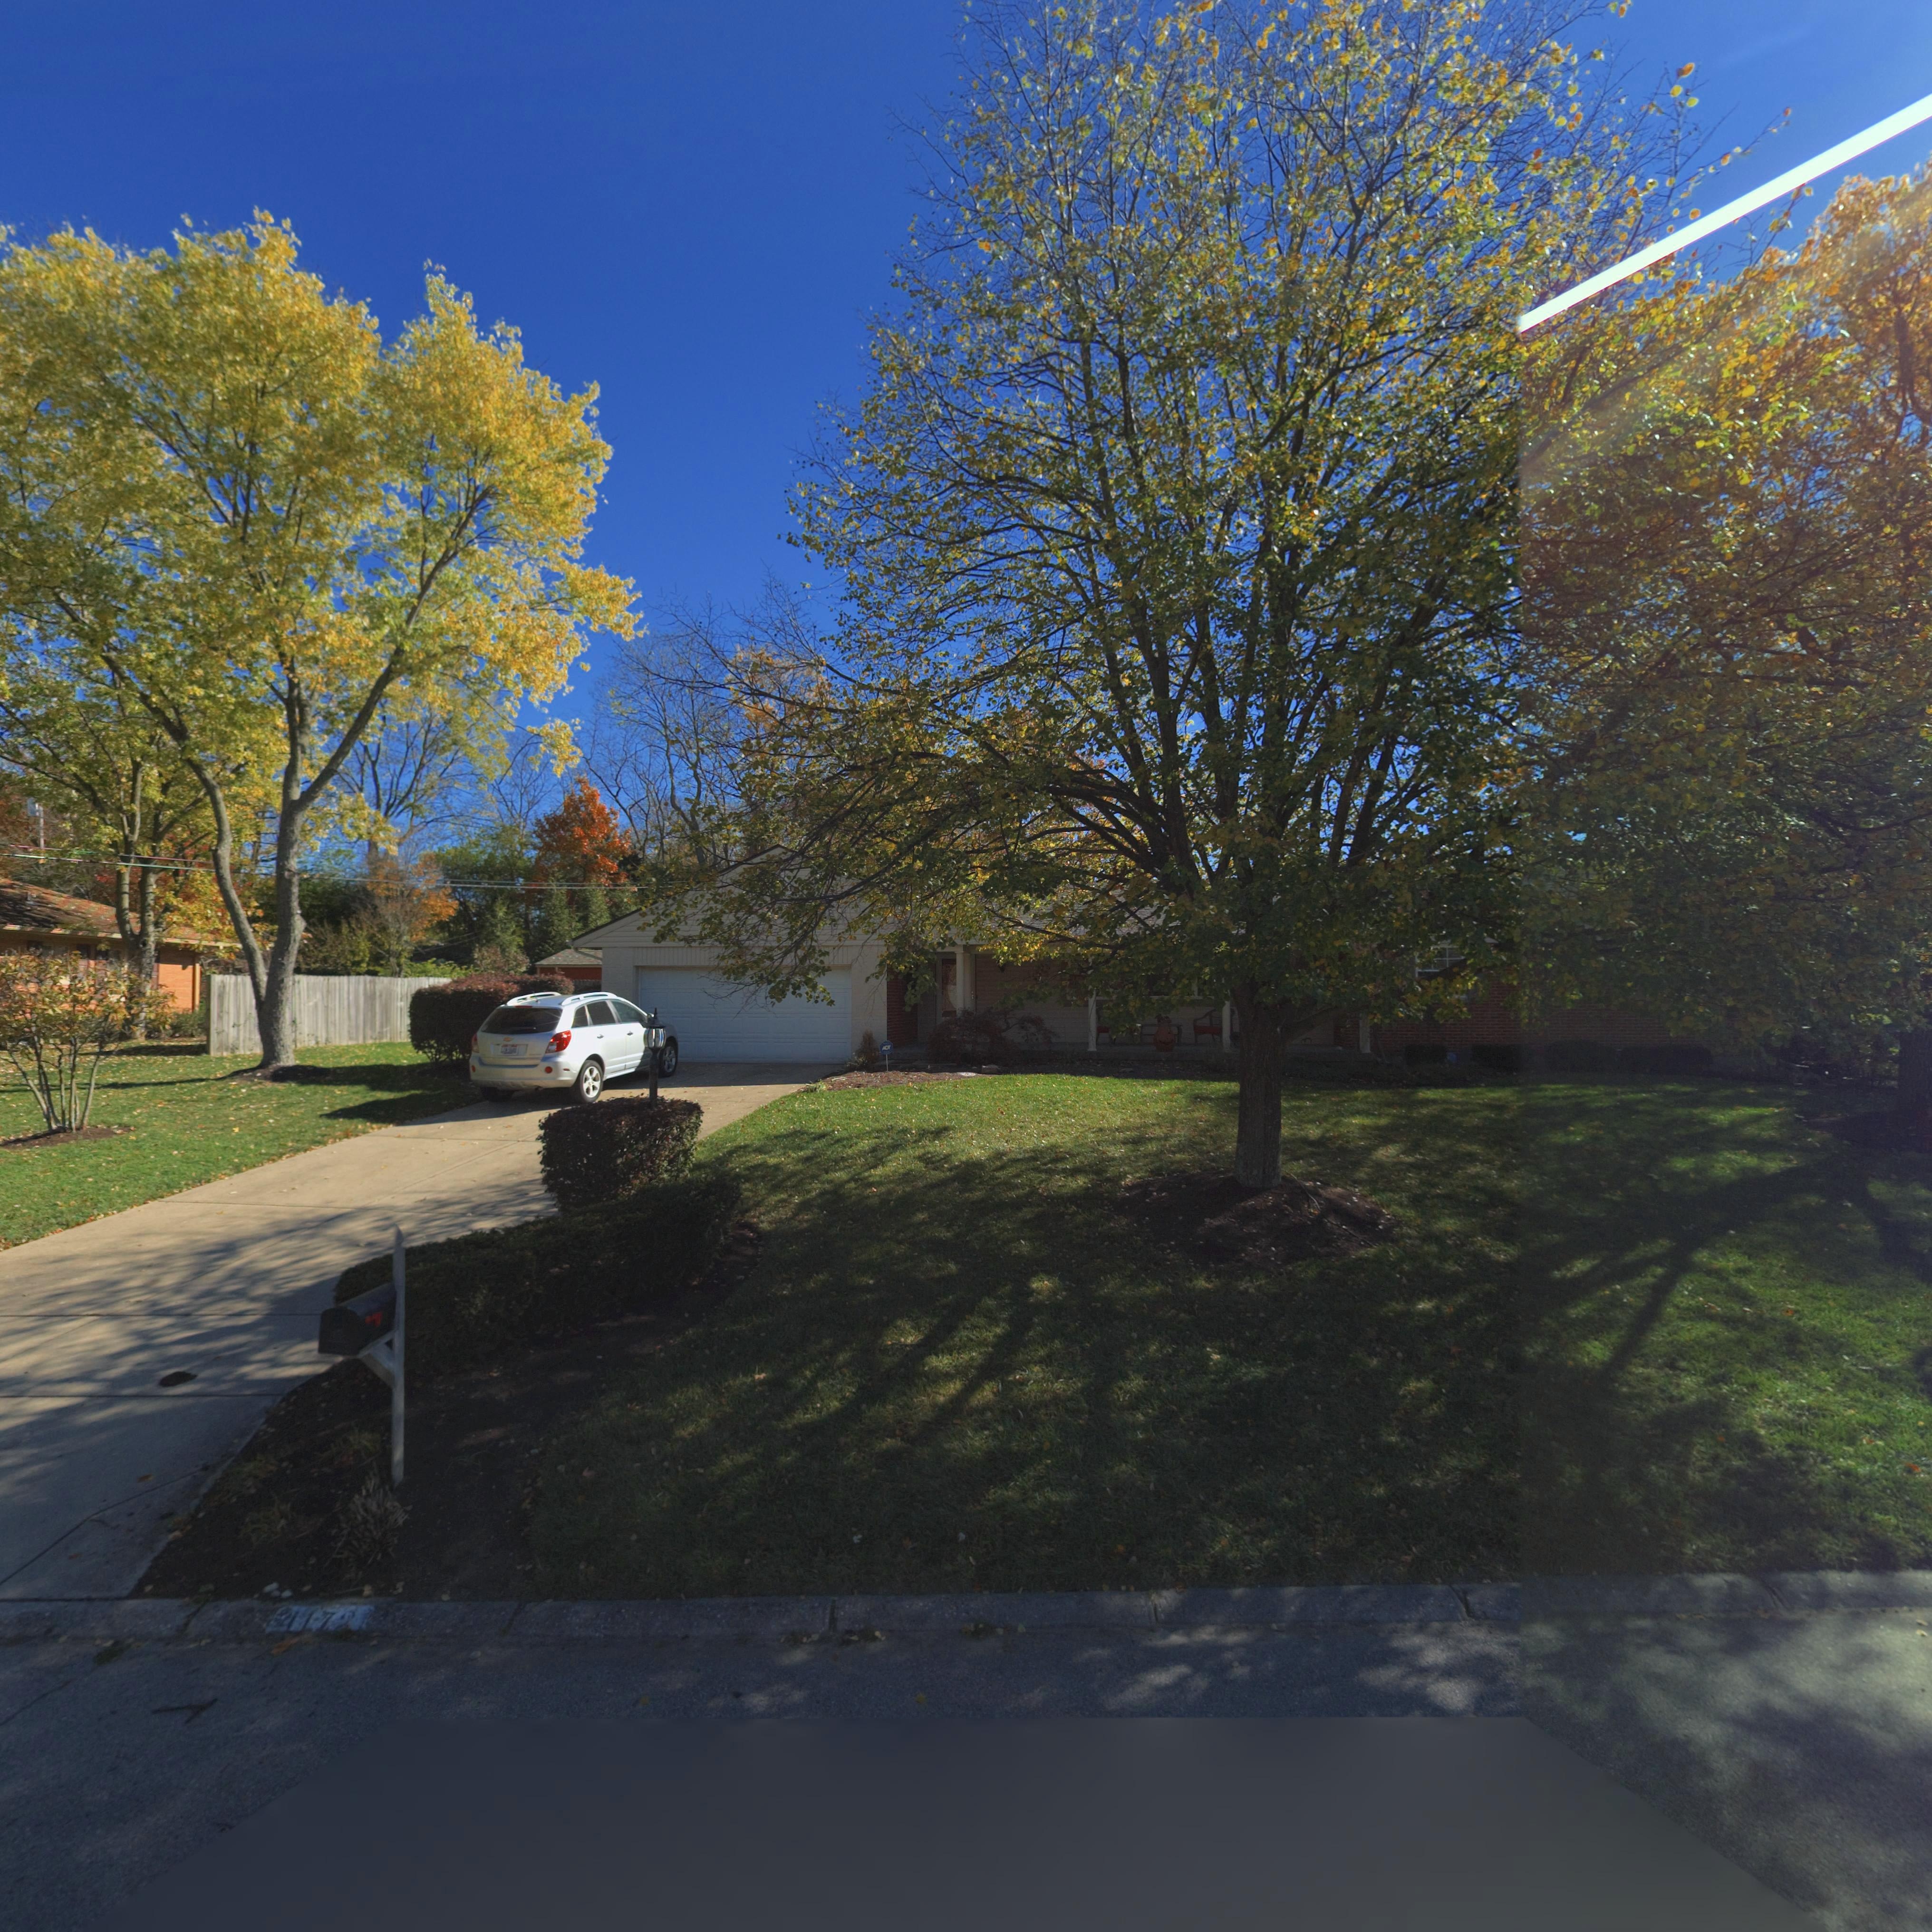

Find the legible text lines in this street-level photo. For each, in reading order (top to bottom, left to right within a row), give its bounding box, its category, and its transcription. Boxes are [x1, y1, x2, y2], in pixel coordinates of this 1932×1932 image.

[277, 1606, 358, 1633] StreetNumber: 417*